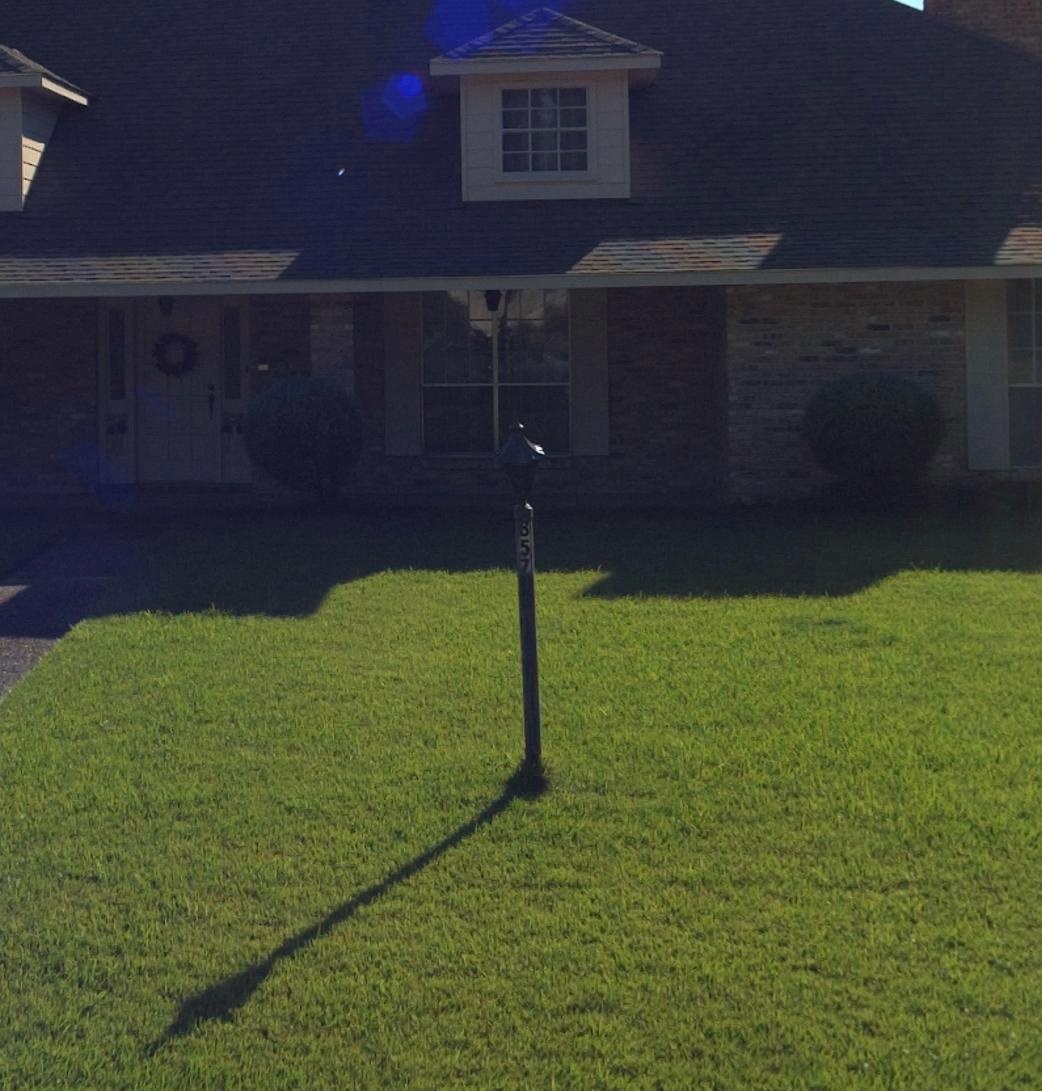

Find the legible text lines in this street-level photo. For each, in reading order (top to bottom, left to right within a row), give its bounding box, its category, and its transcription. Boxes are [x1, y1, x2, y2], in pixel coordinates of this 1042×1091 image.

[518, 519, 530, 574] StreetNumber: 857